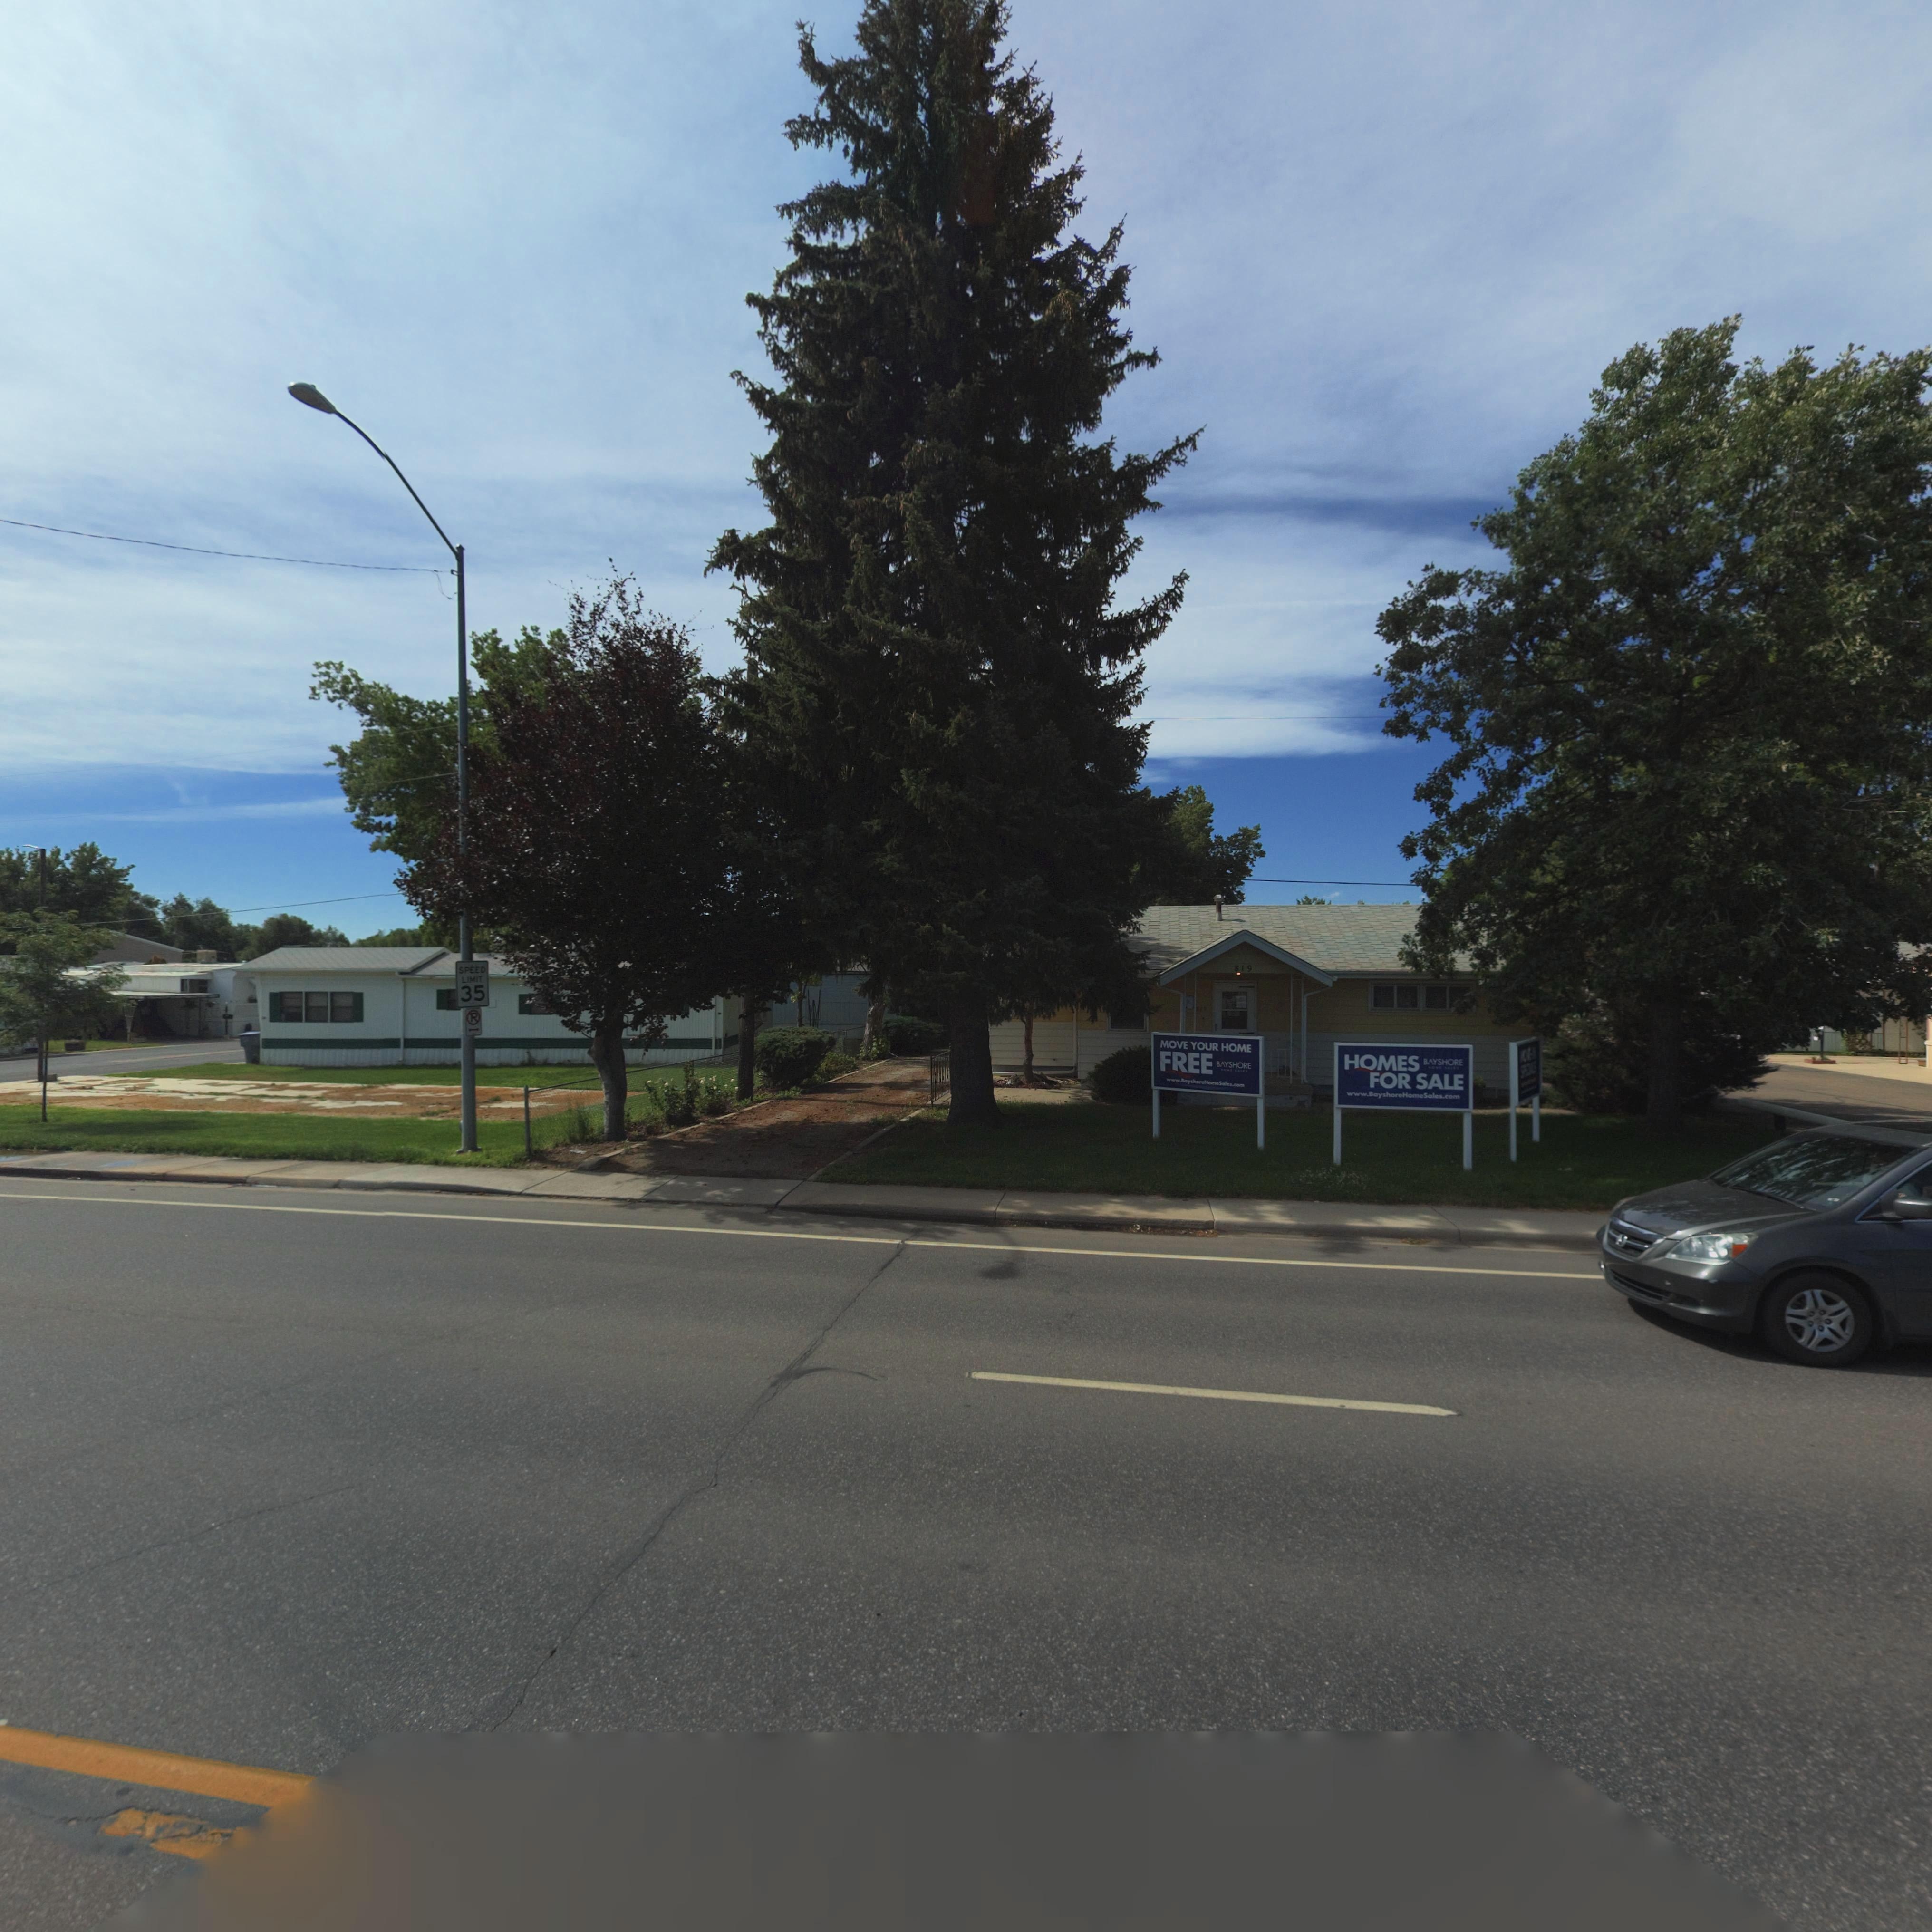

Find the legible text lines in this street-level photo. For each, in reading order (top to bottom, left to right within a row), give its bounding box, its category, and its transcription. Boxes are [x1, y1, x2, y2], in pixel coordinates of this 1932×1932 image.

[1234, 965, 1252, 972] StreetNumber: 819